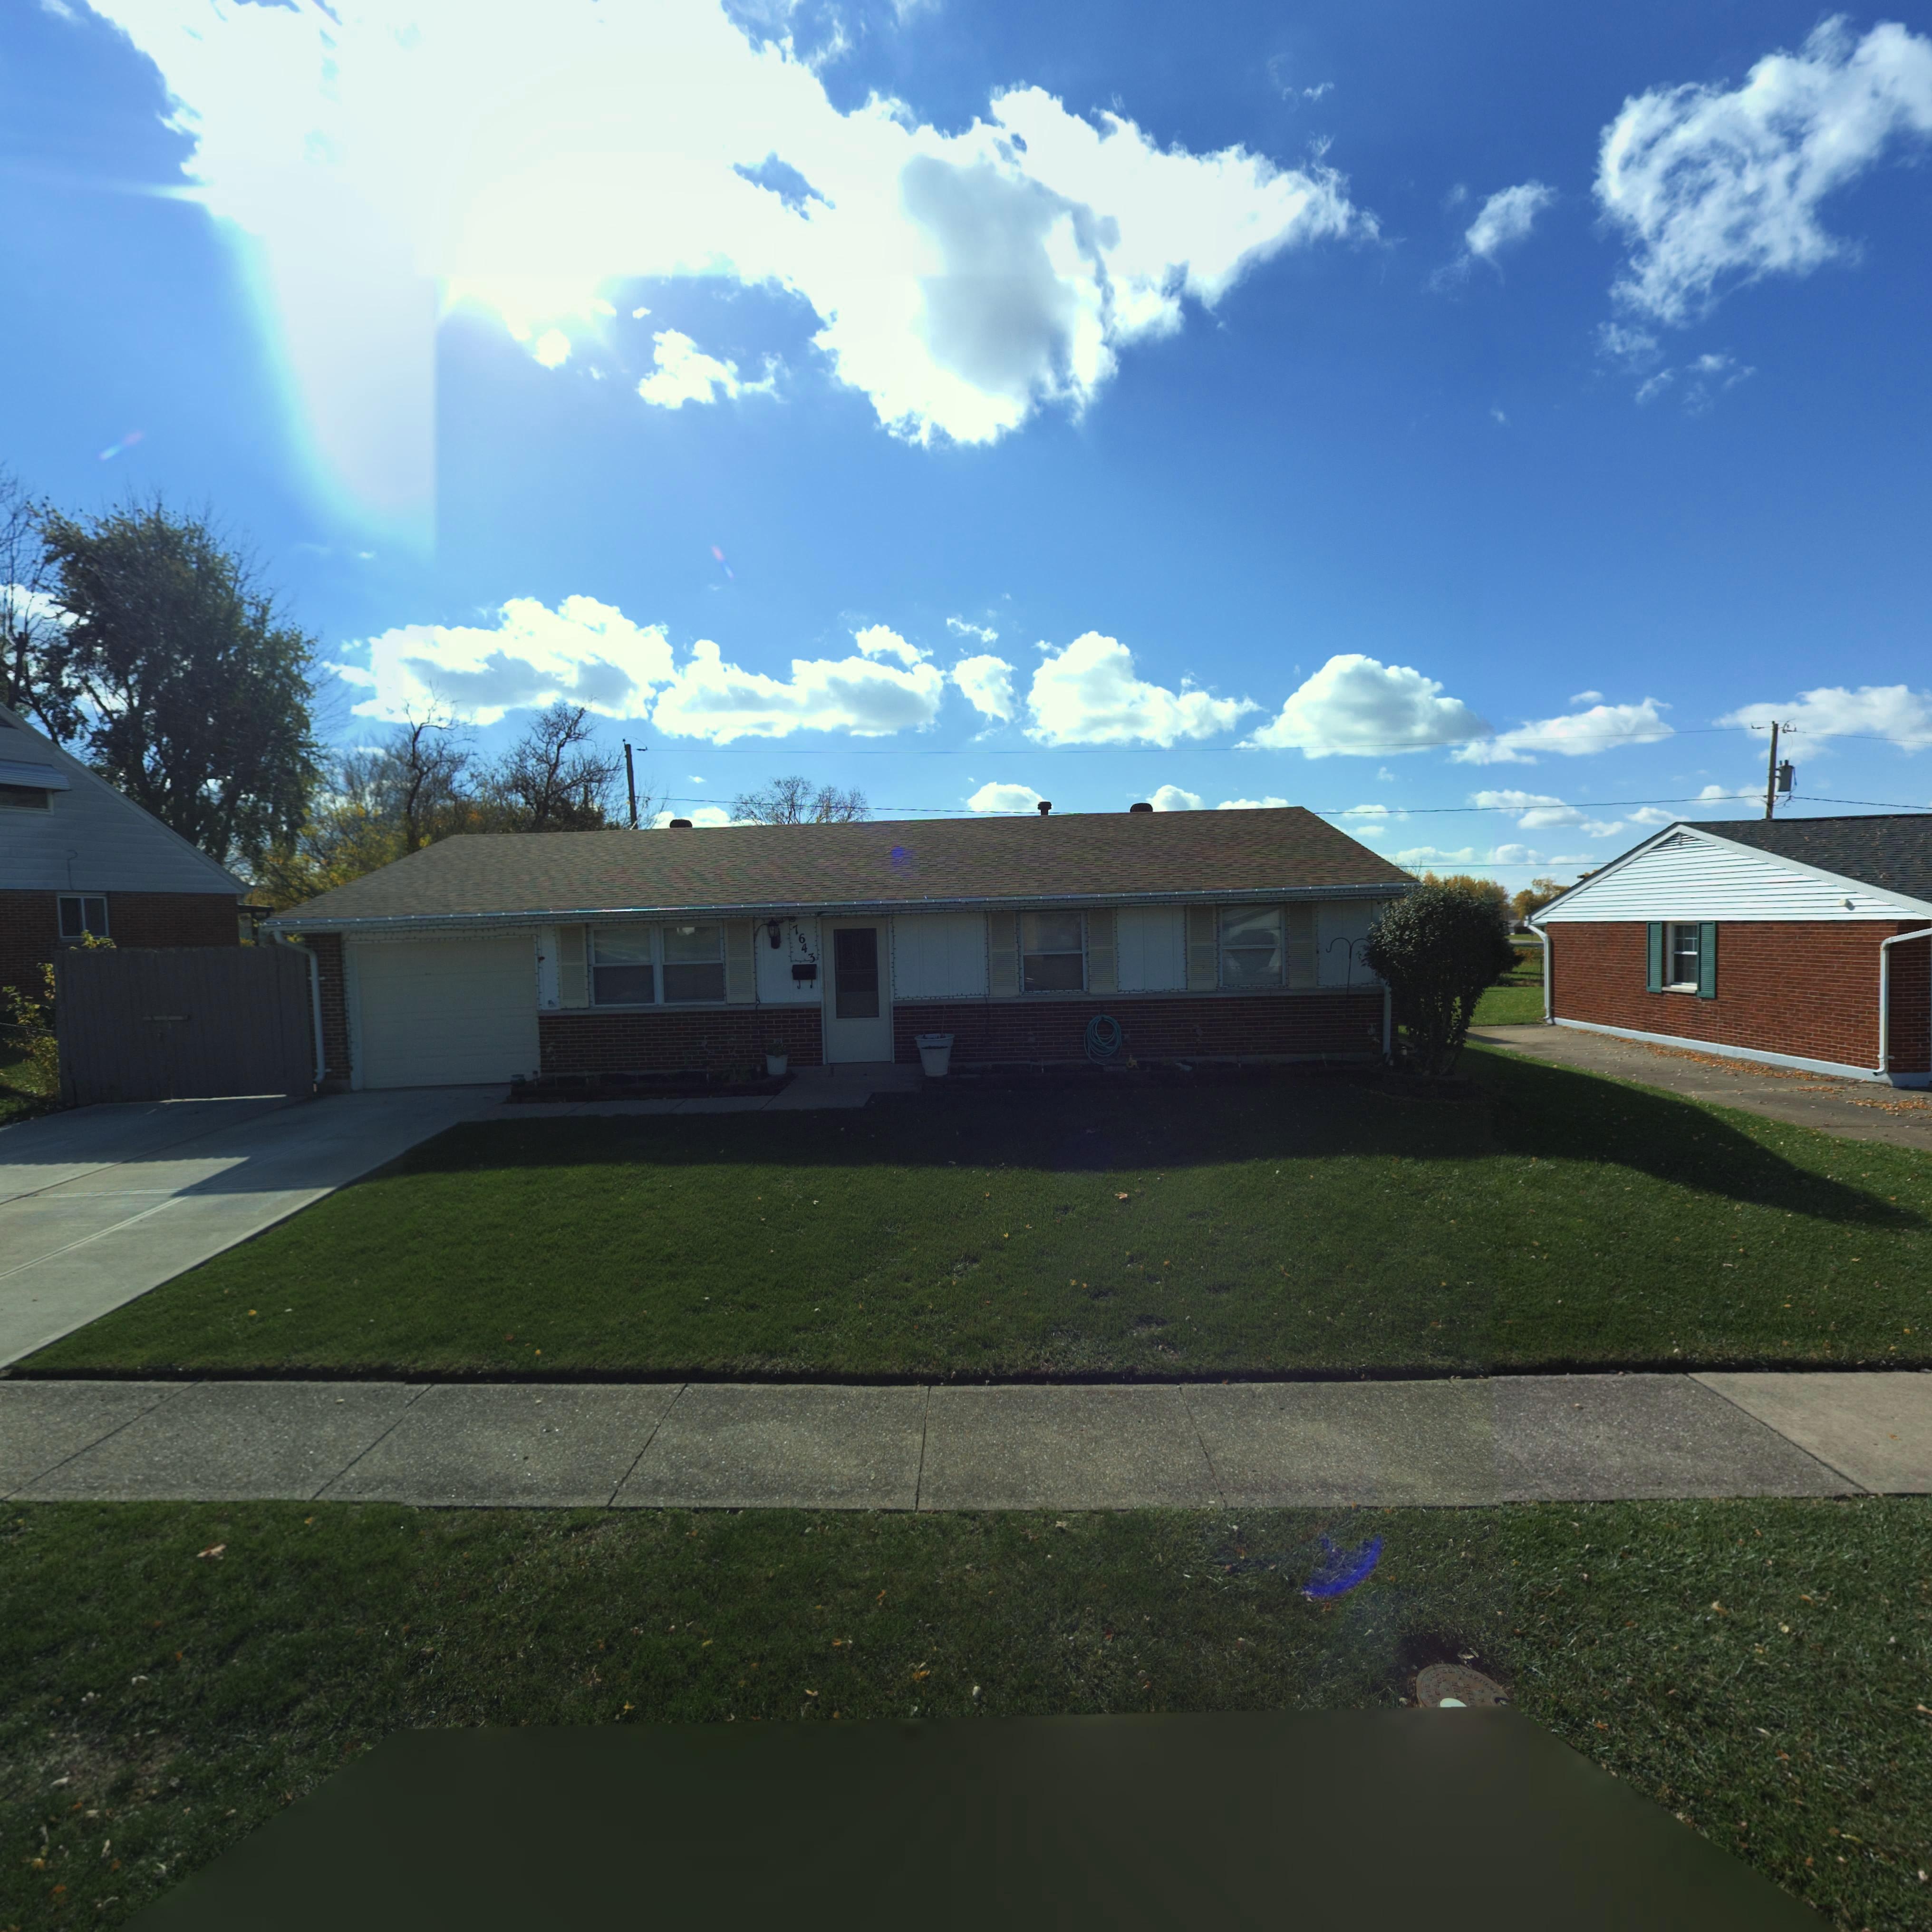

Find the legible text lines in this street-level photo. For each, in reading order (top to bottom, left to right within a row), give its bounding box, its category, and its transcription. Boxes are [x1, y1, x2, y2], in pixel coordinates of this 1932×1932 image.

[792, 923, 816, 964] StreetNumber: 7643